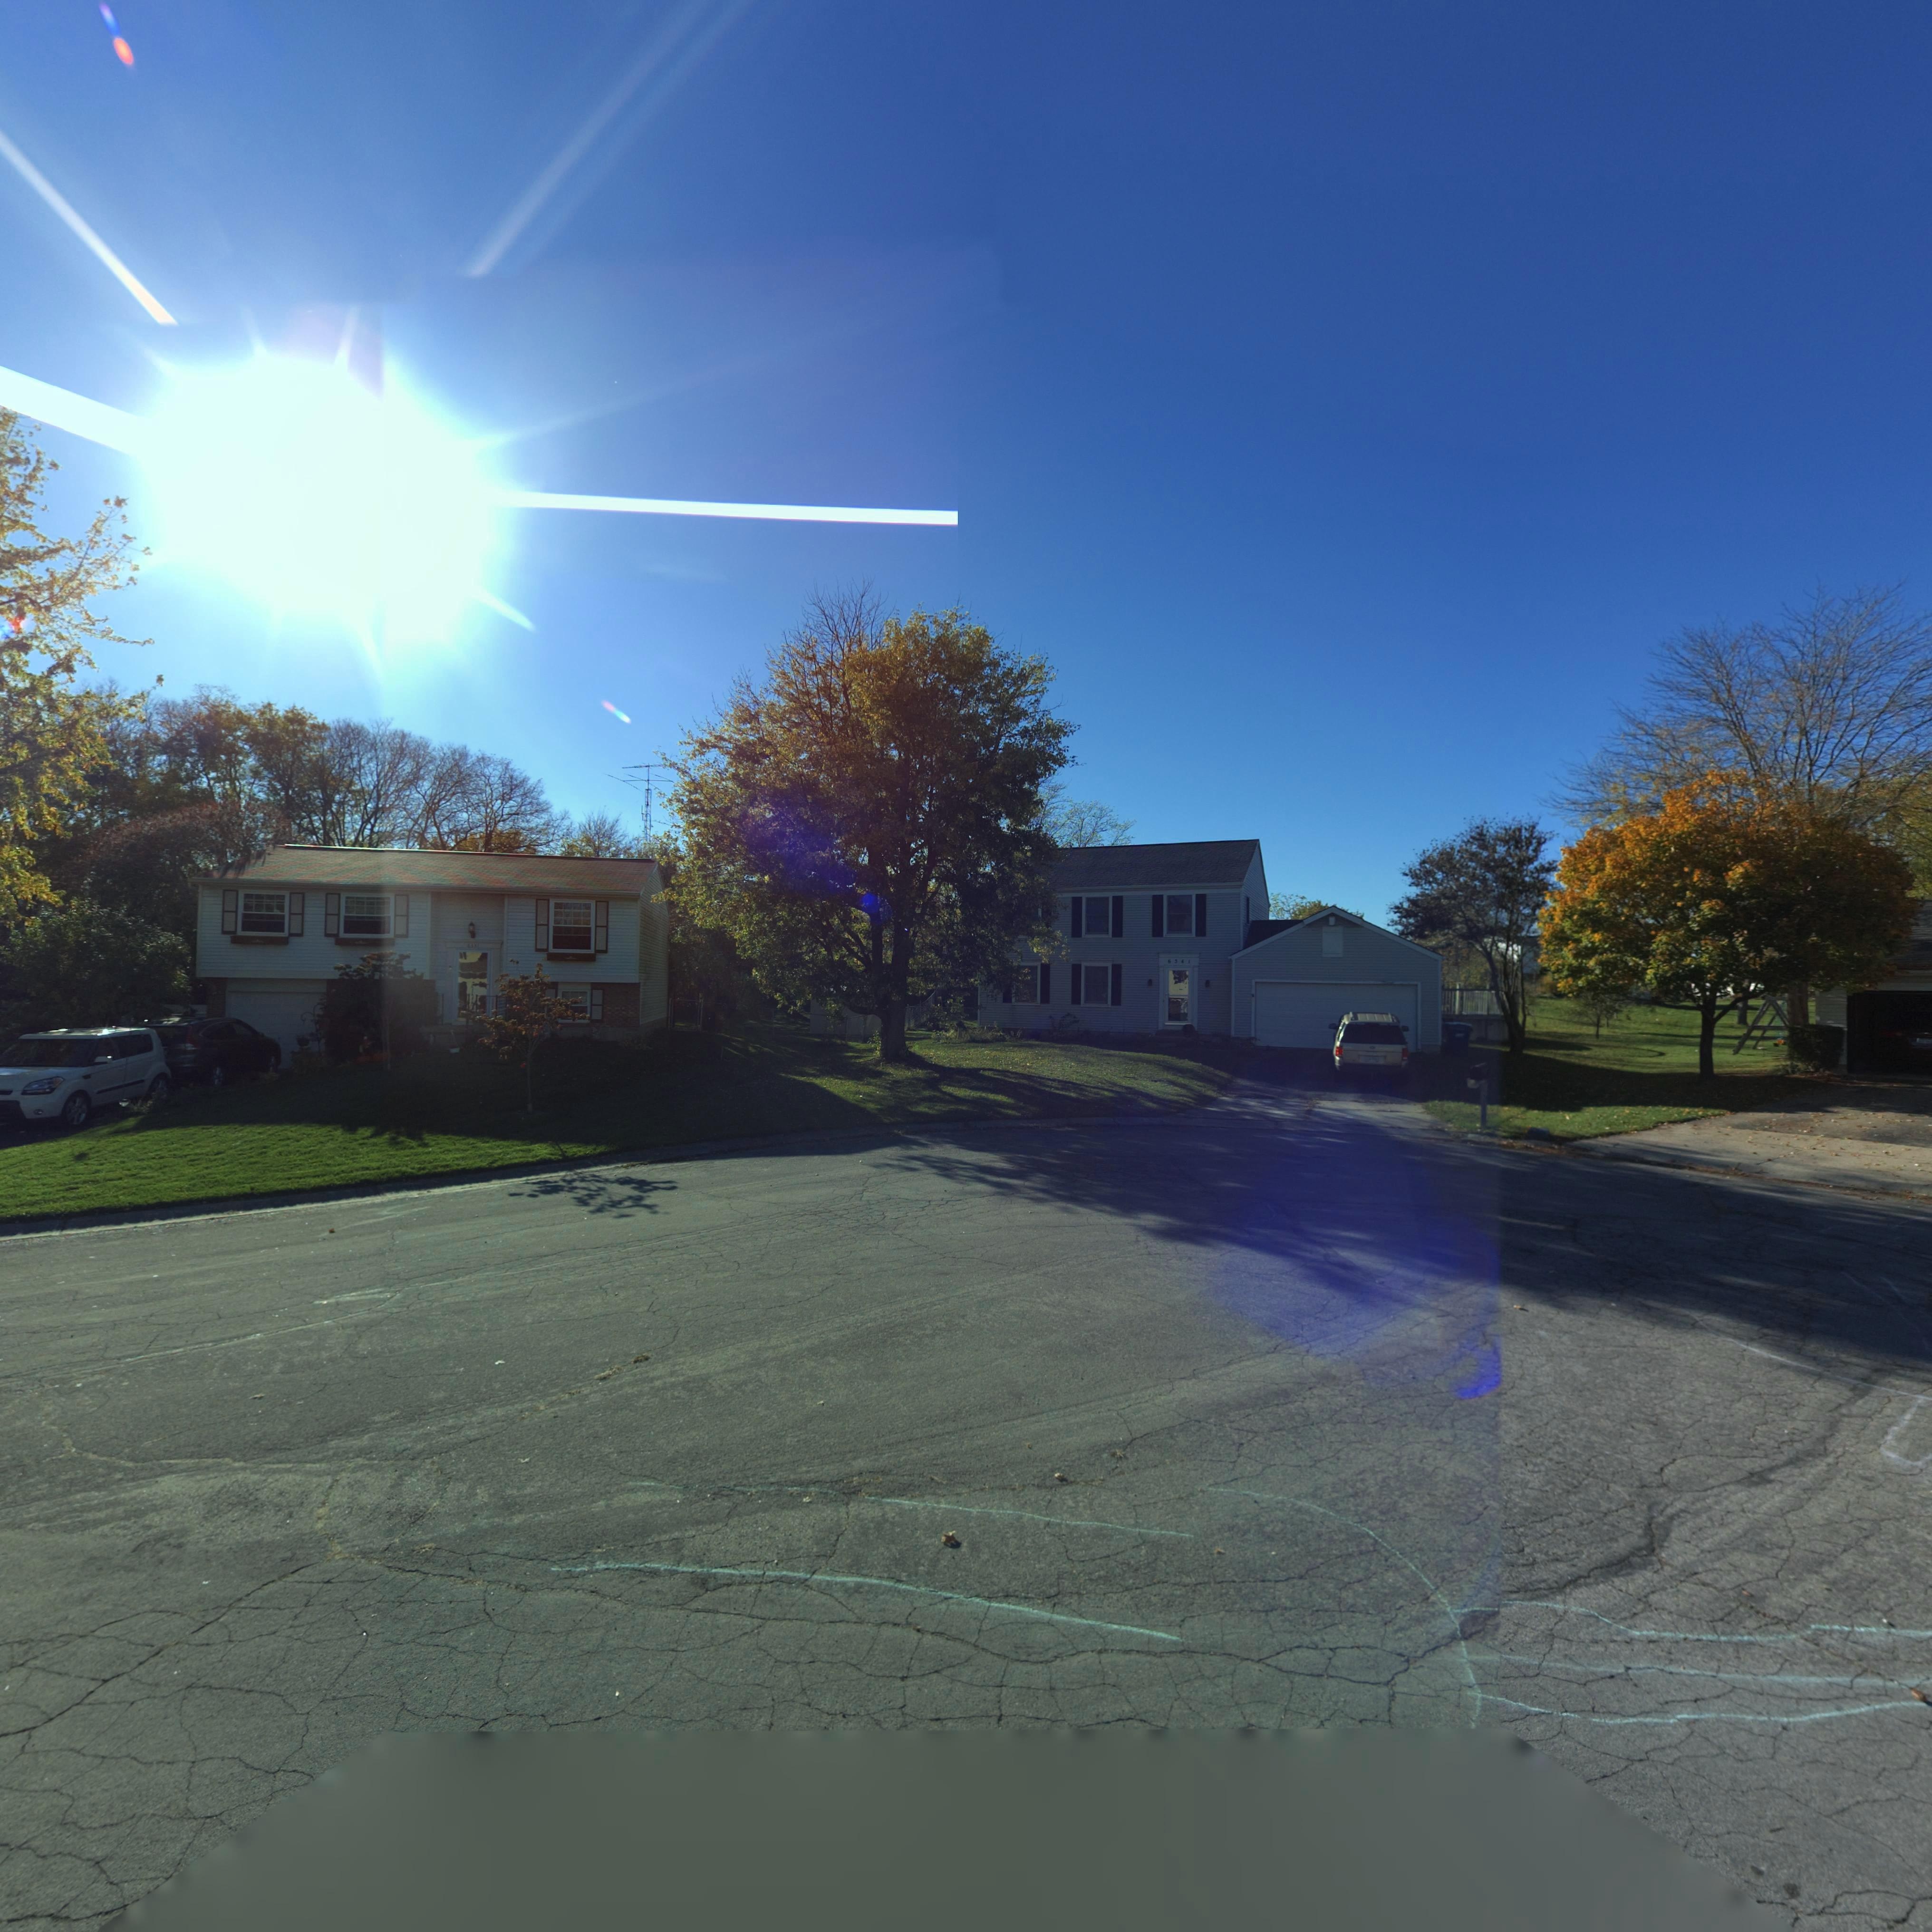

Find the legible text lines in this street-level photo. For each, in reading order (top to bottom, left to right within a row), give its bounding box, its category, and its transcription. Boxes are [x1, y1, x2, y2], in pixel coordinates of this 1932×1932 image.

[1167, 958, 1191, 965] StreetNumber: 6*41